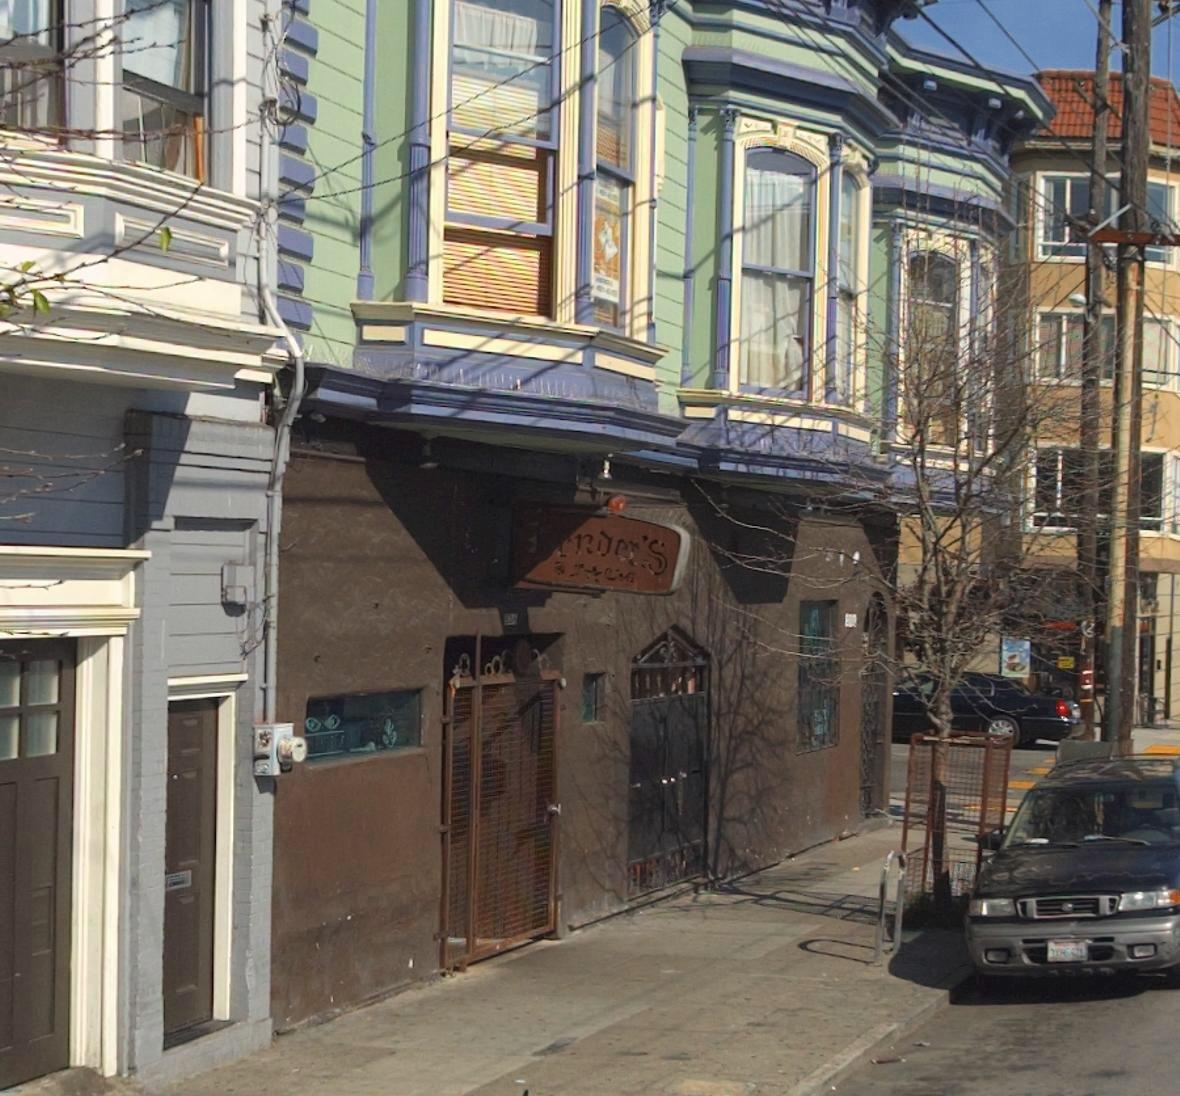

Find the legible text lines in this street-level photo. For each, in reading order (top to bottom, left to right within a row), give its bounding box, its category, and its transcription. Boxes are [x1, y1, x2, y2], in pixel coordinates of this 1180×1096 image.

[526, 517, 668, 577] BusinessName: Bender's